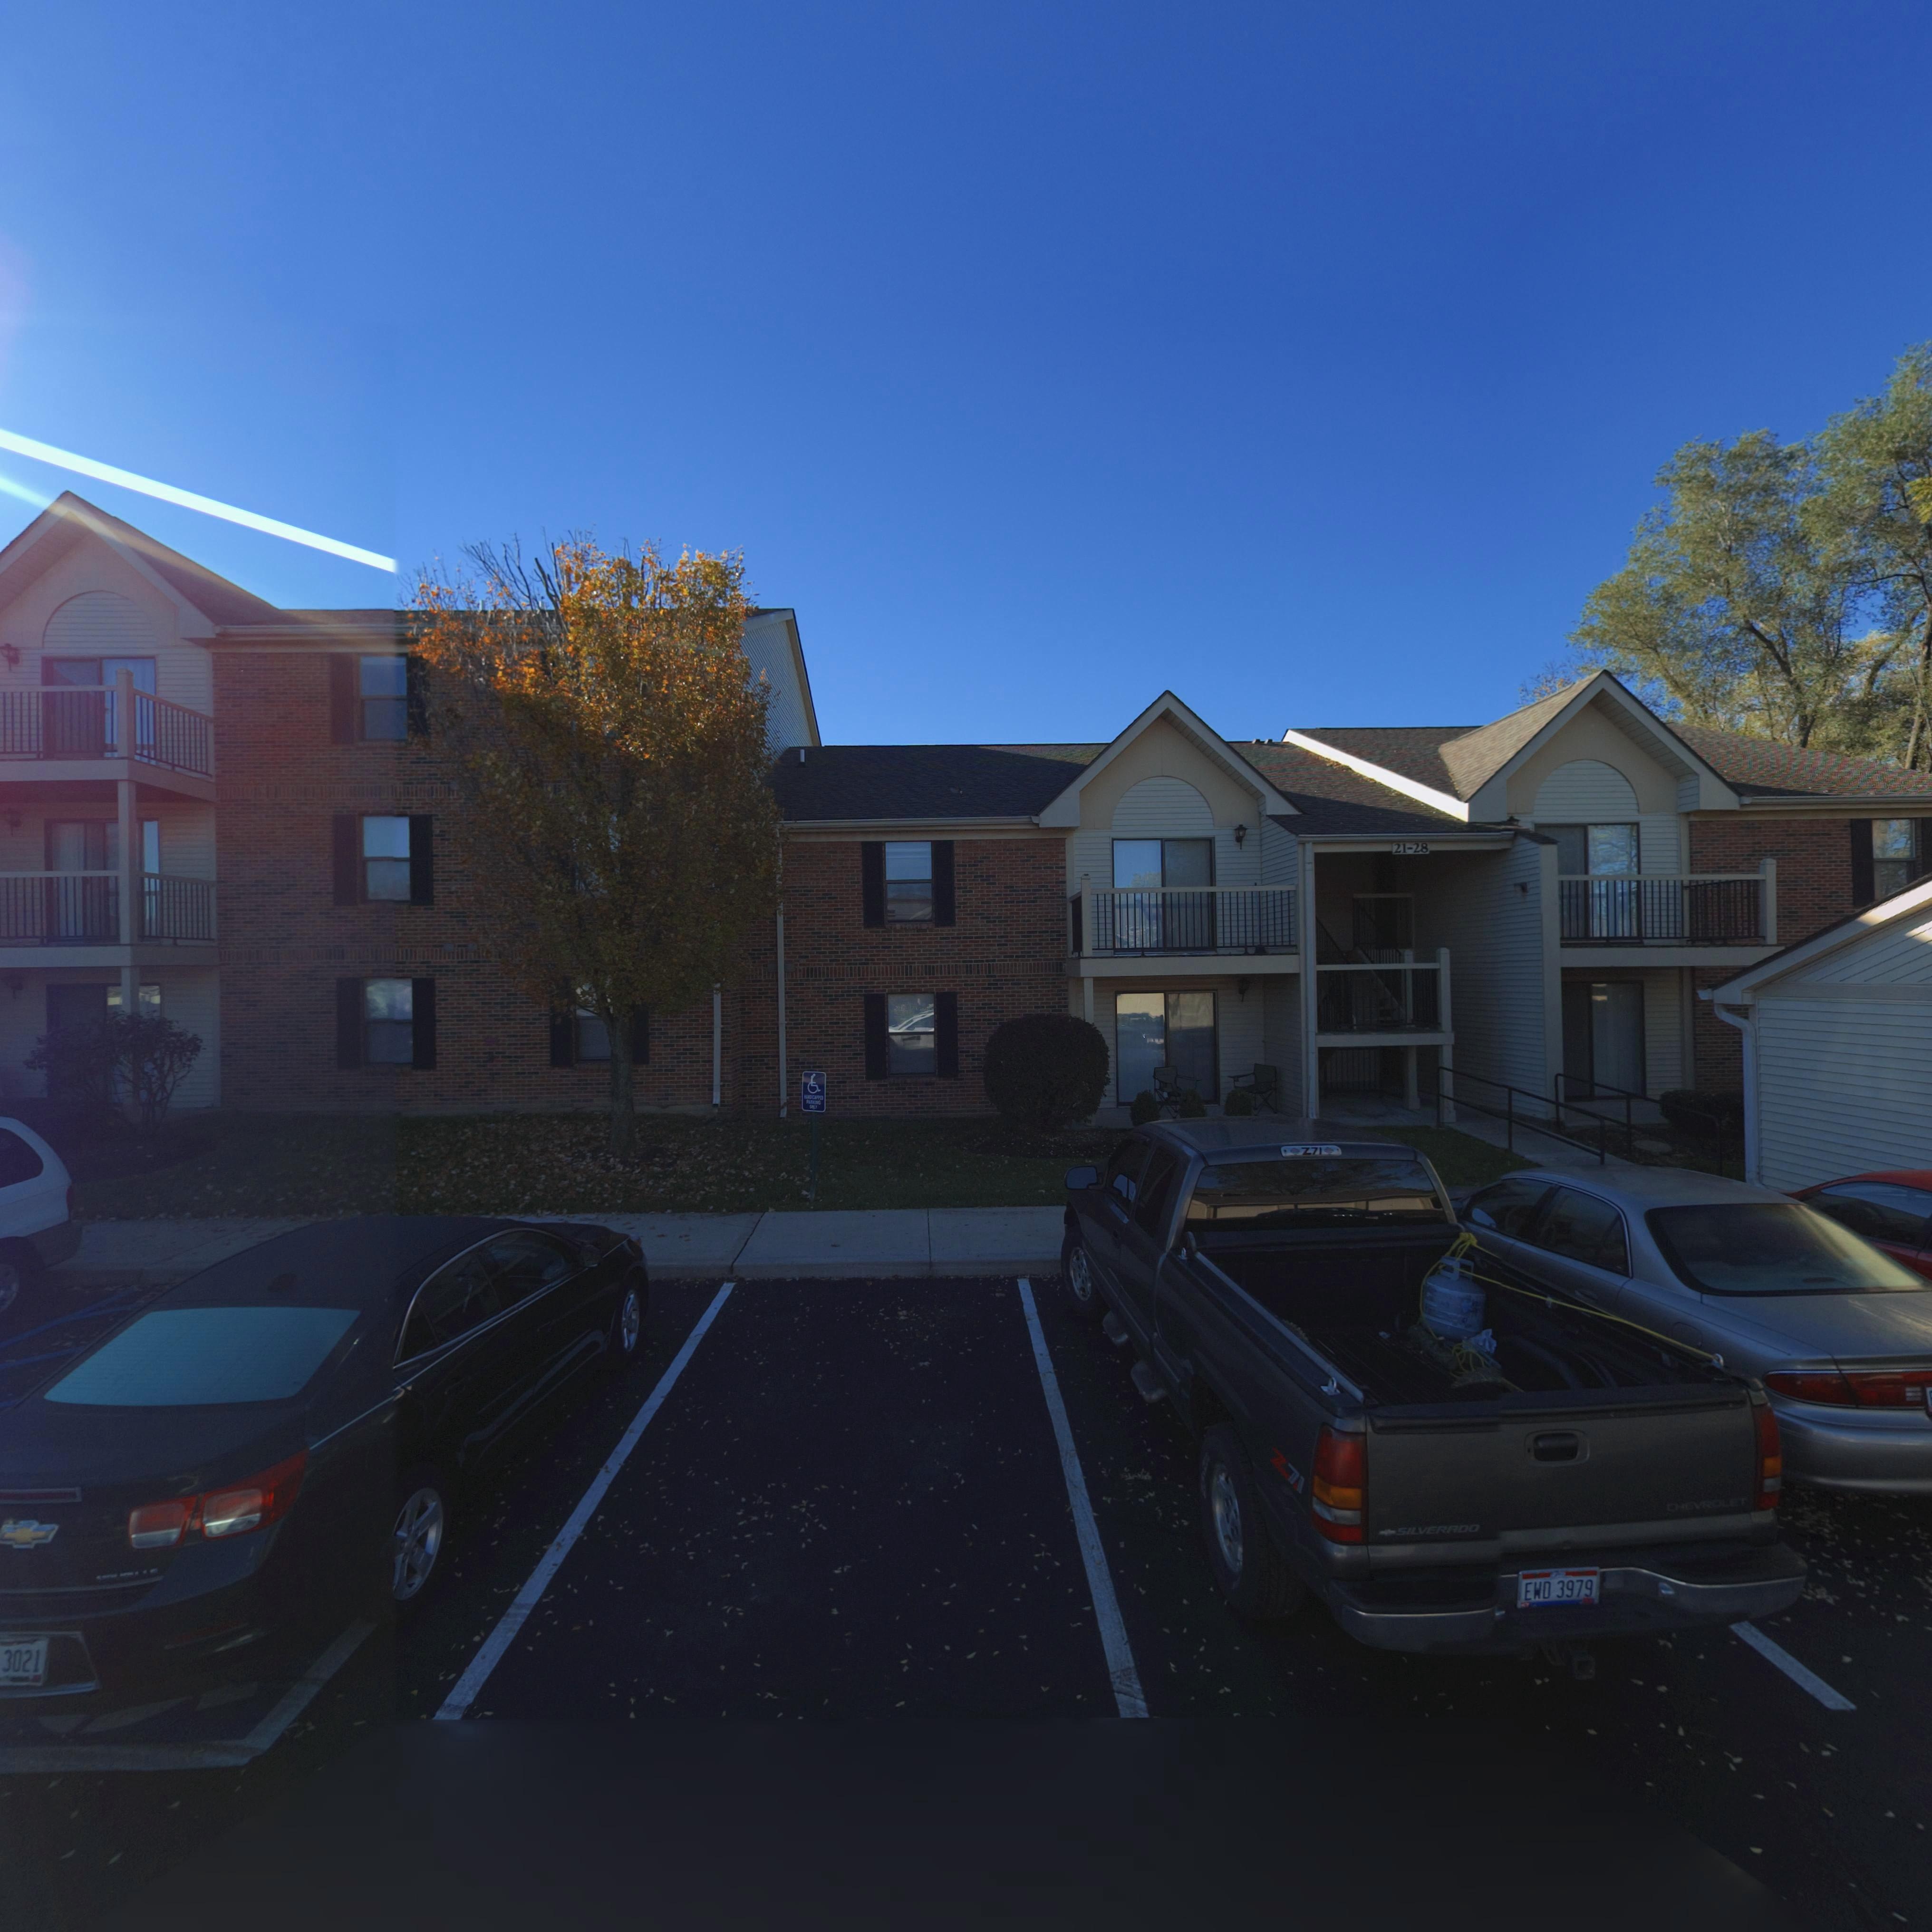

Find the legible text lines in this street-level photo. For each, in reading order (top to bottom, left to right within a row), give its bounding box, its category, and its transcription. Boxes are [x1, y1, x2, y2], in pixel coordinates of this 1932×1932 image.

[1392, 841, 1429, 854] StreetNumber: 21-28